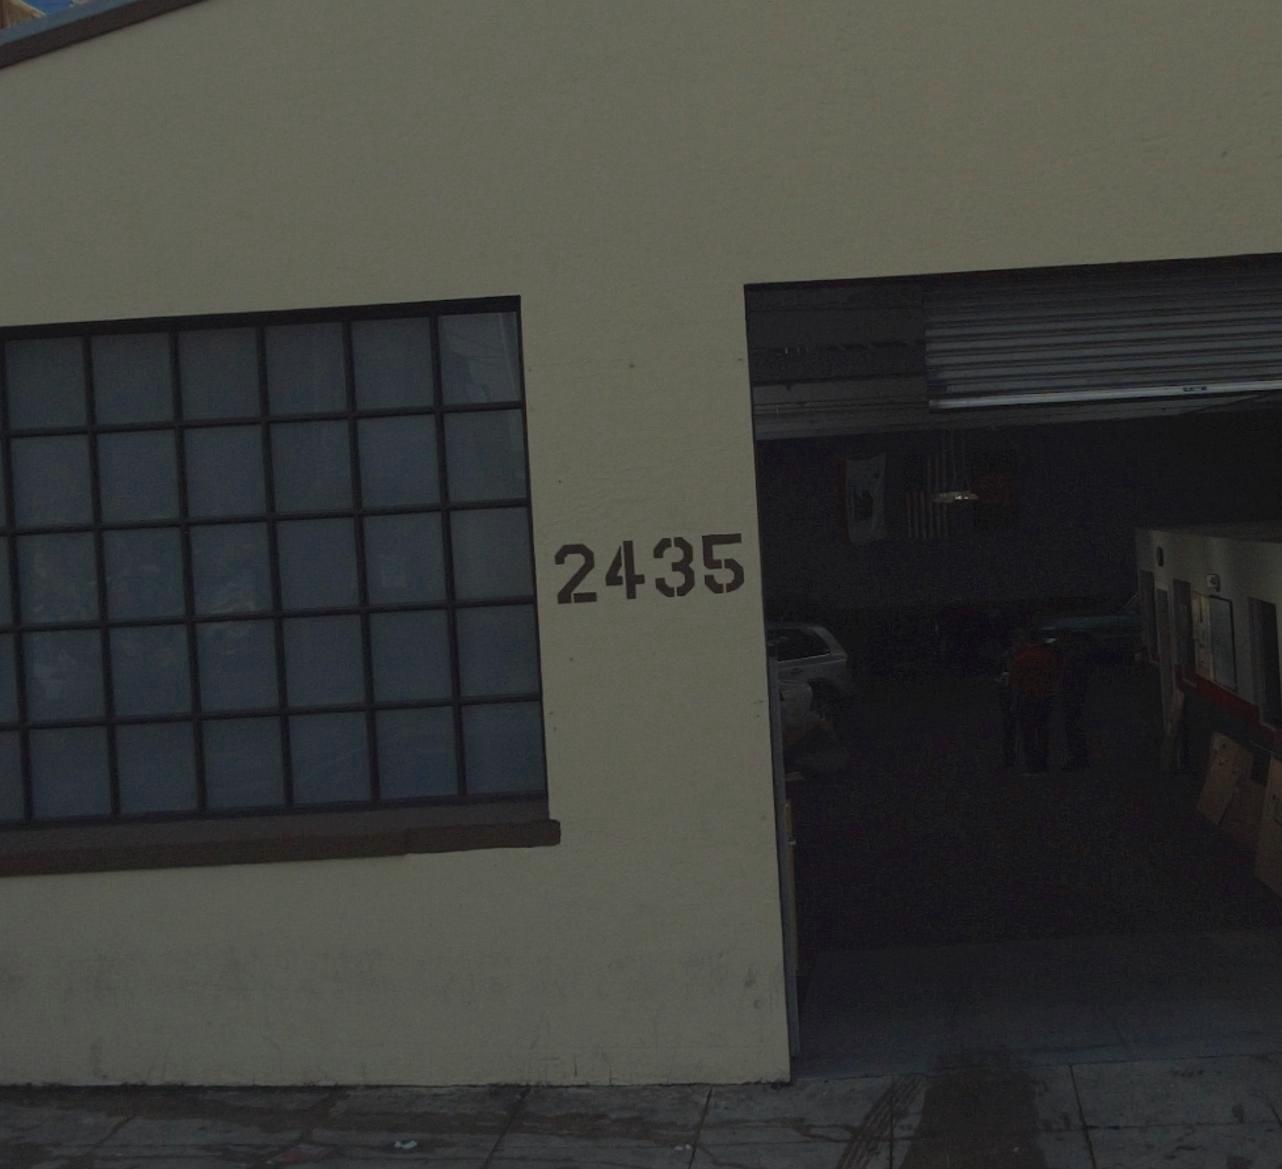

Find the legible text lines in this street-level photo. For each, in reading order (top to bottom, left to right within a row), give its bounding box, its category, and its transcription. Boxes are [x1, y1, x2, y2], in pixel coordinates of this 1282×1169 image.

[552, 532, 750, 606] StreetNumber: 2435